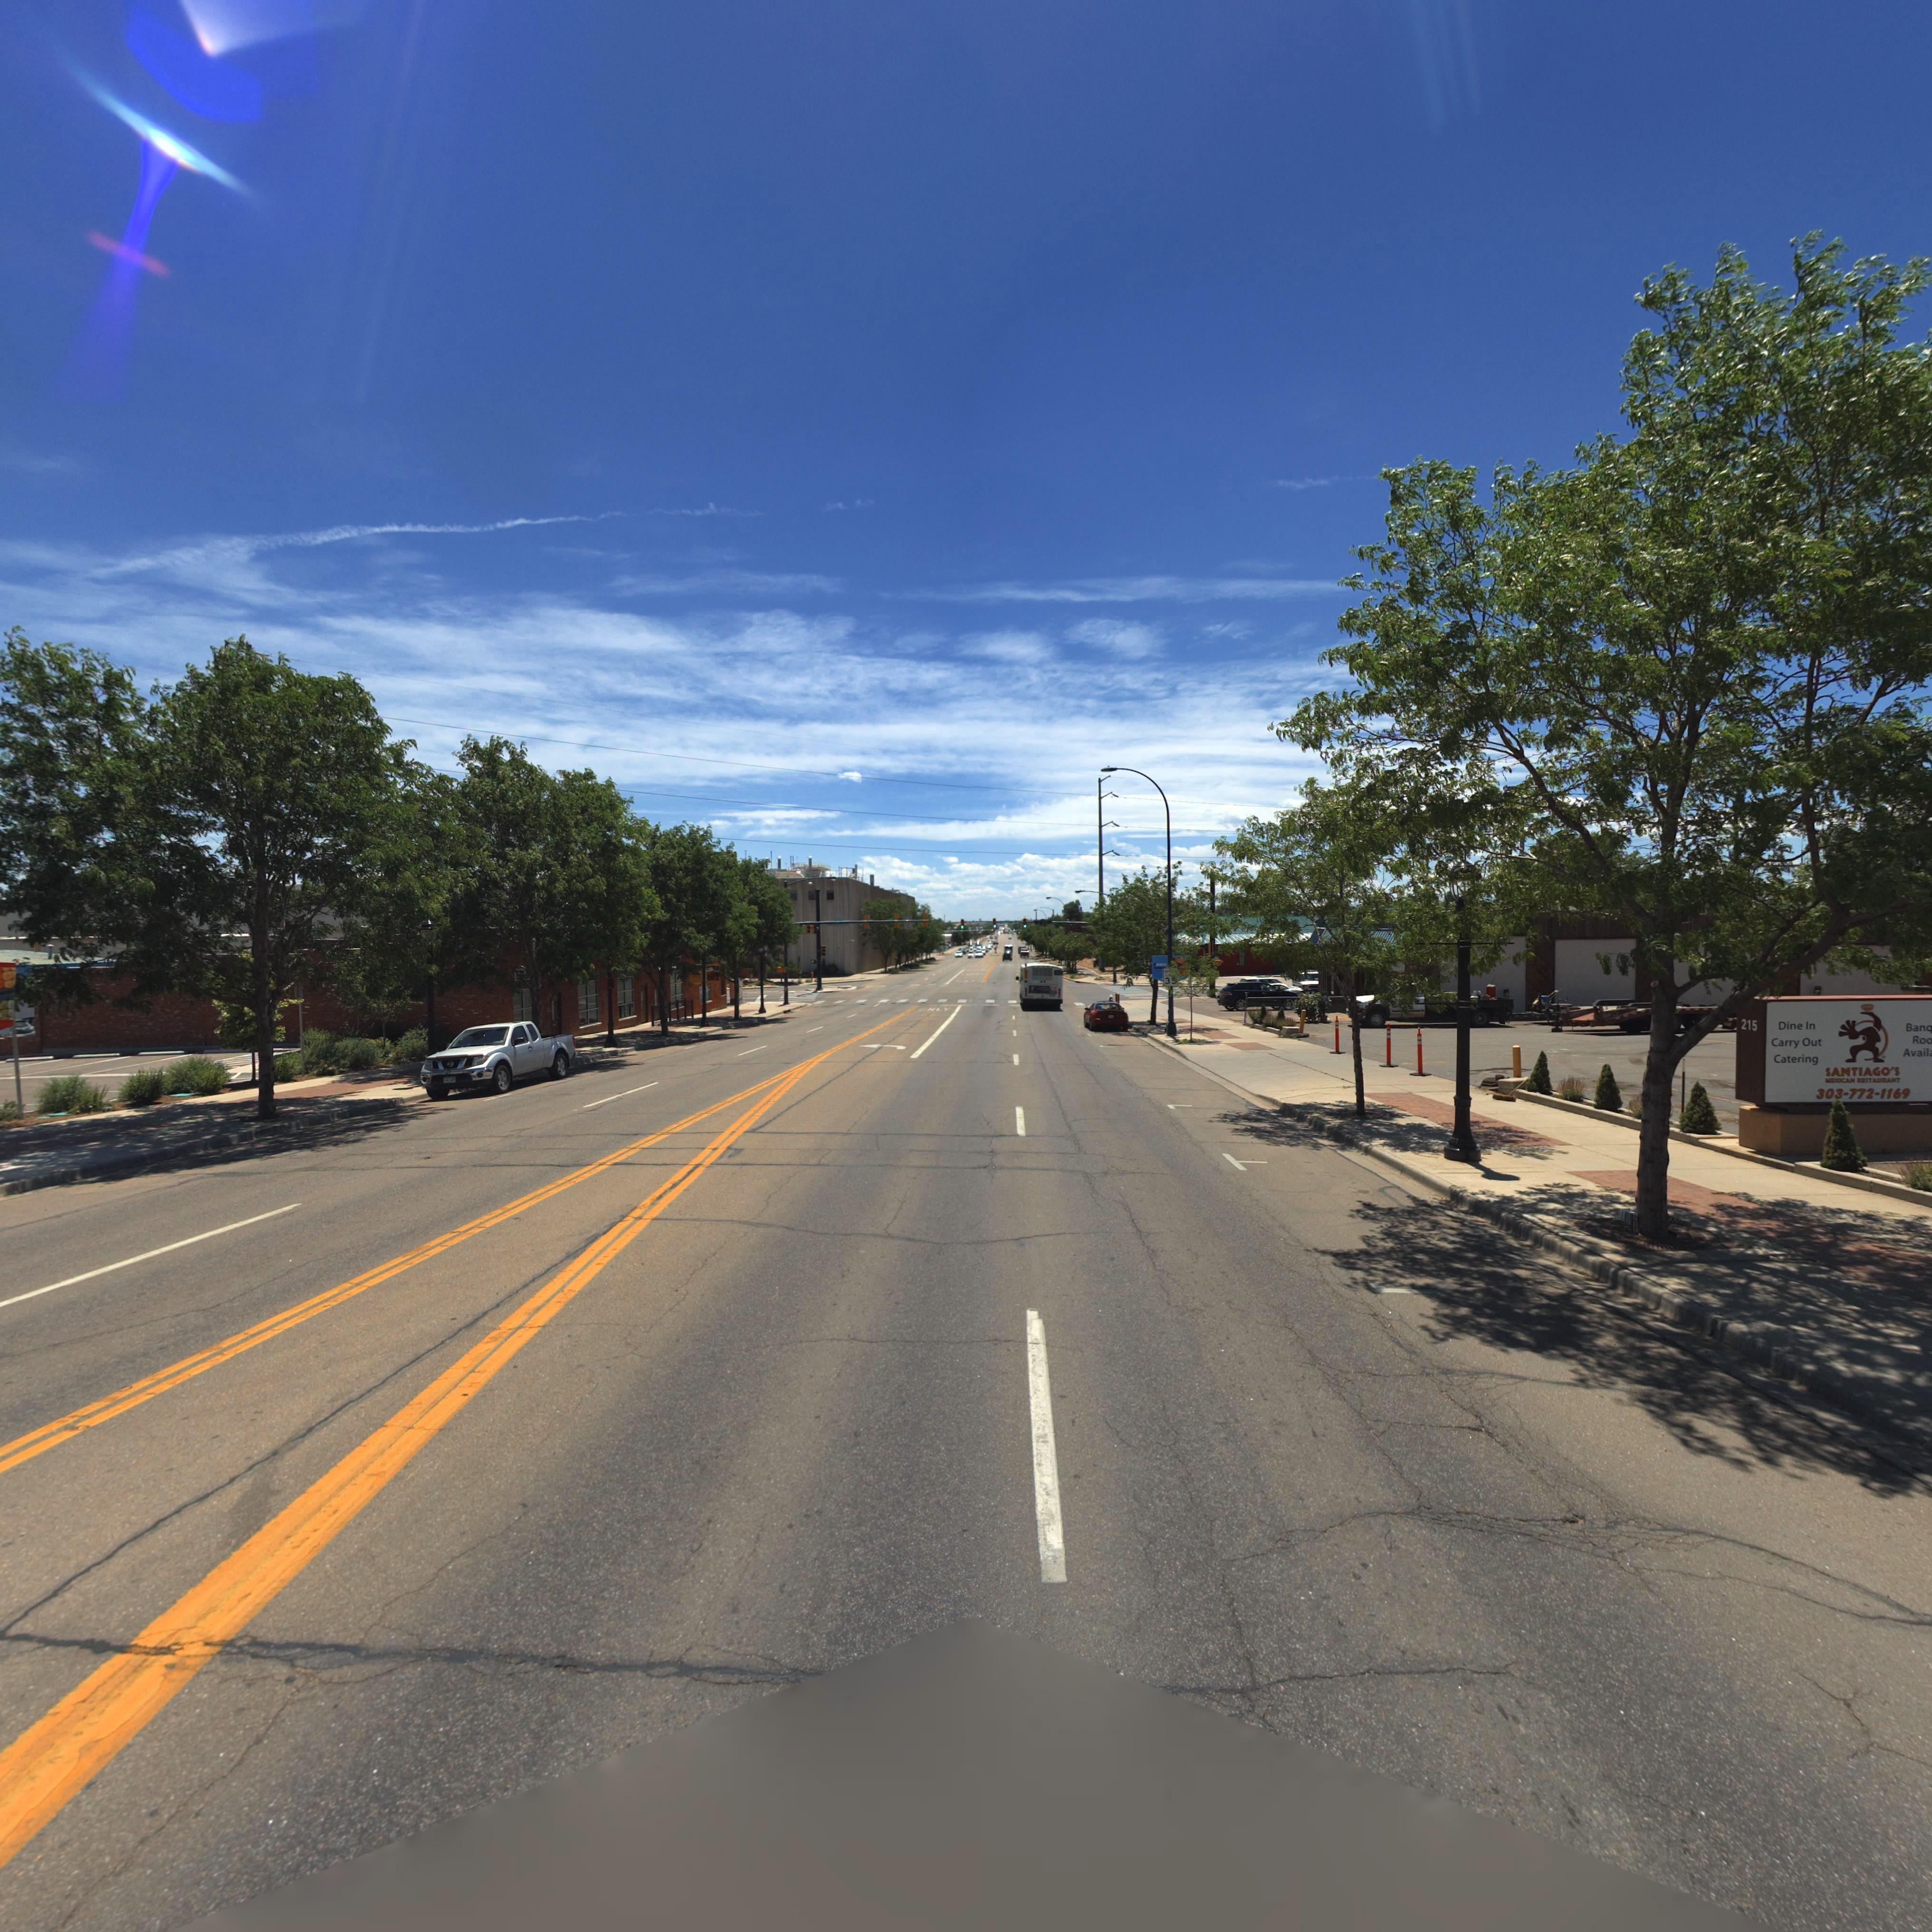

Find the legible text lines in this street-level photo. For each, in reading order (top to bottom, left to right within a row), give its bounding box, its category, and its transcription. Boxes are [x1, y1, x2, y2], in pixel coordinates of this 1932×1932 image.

[1740, 1018, 1758, 1031] StreetNumber: 215
[1824, 1066, 1901, 1076] BusinessName: SANTIAGO'S
[1823, 1077, 1901, 1083] BusinessName: MEXICAN RESTAURANT